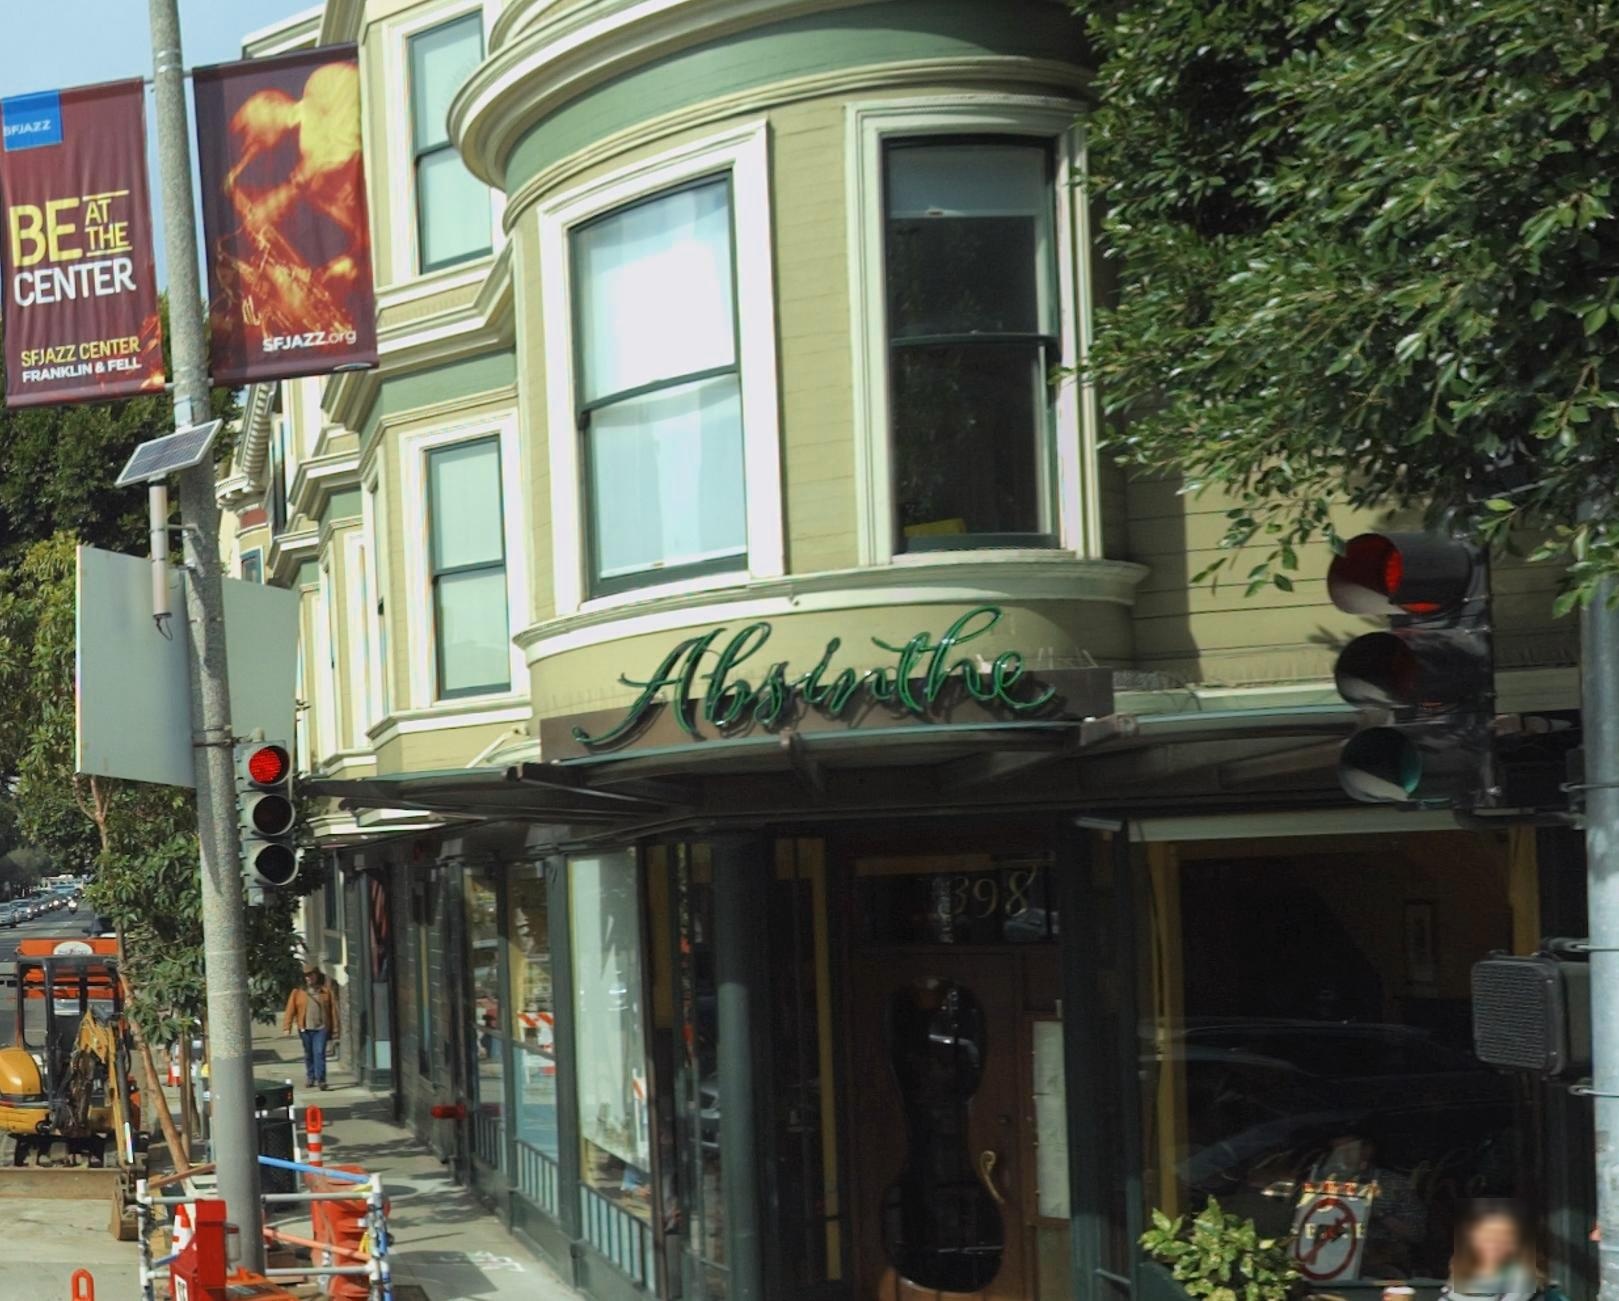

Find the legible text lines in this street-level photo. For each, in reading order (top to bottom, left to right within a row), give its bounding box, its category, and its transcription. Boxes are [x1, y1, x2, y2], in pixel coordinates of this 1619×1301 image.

[9, 115, 55, 139] None: FJAZZ
[83, 195, 117, 228] None: AT
[6, 195, 87, 270] None: BE
[81, 218, 132, 254] None: THE
[12, 253, 140, 310] None: CENTER
[18, 334, 144, 369] None: SFJAZZ CENTER
[260, 327, 361, 356] None: SFJAZZ.org
[18, 354, 146, 387] None: FRANKLIN & FELL
[572, 600, 1066, 747] BusinessName: Absinthe
[946, 865, 1043, 923] StreetNumber: 398